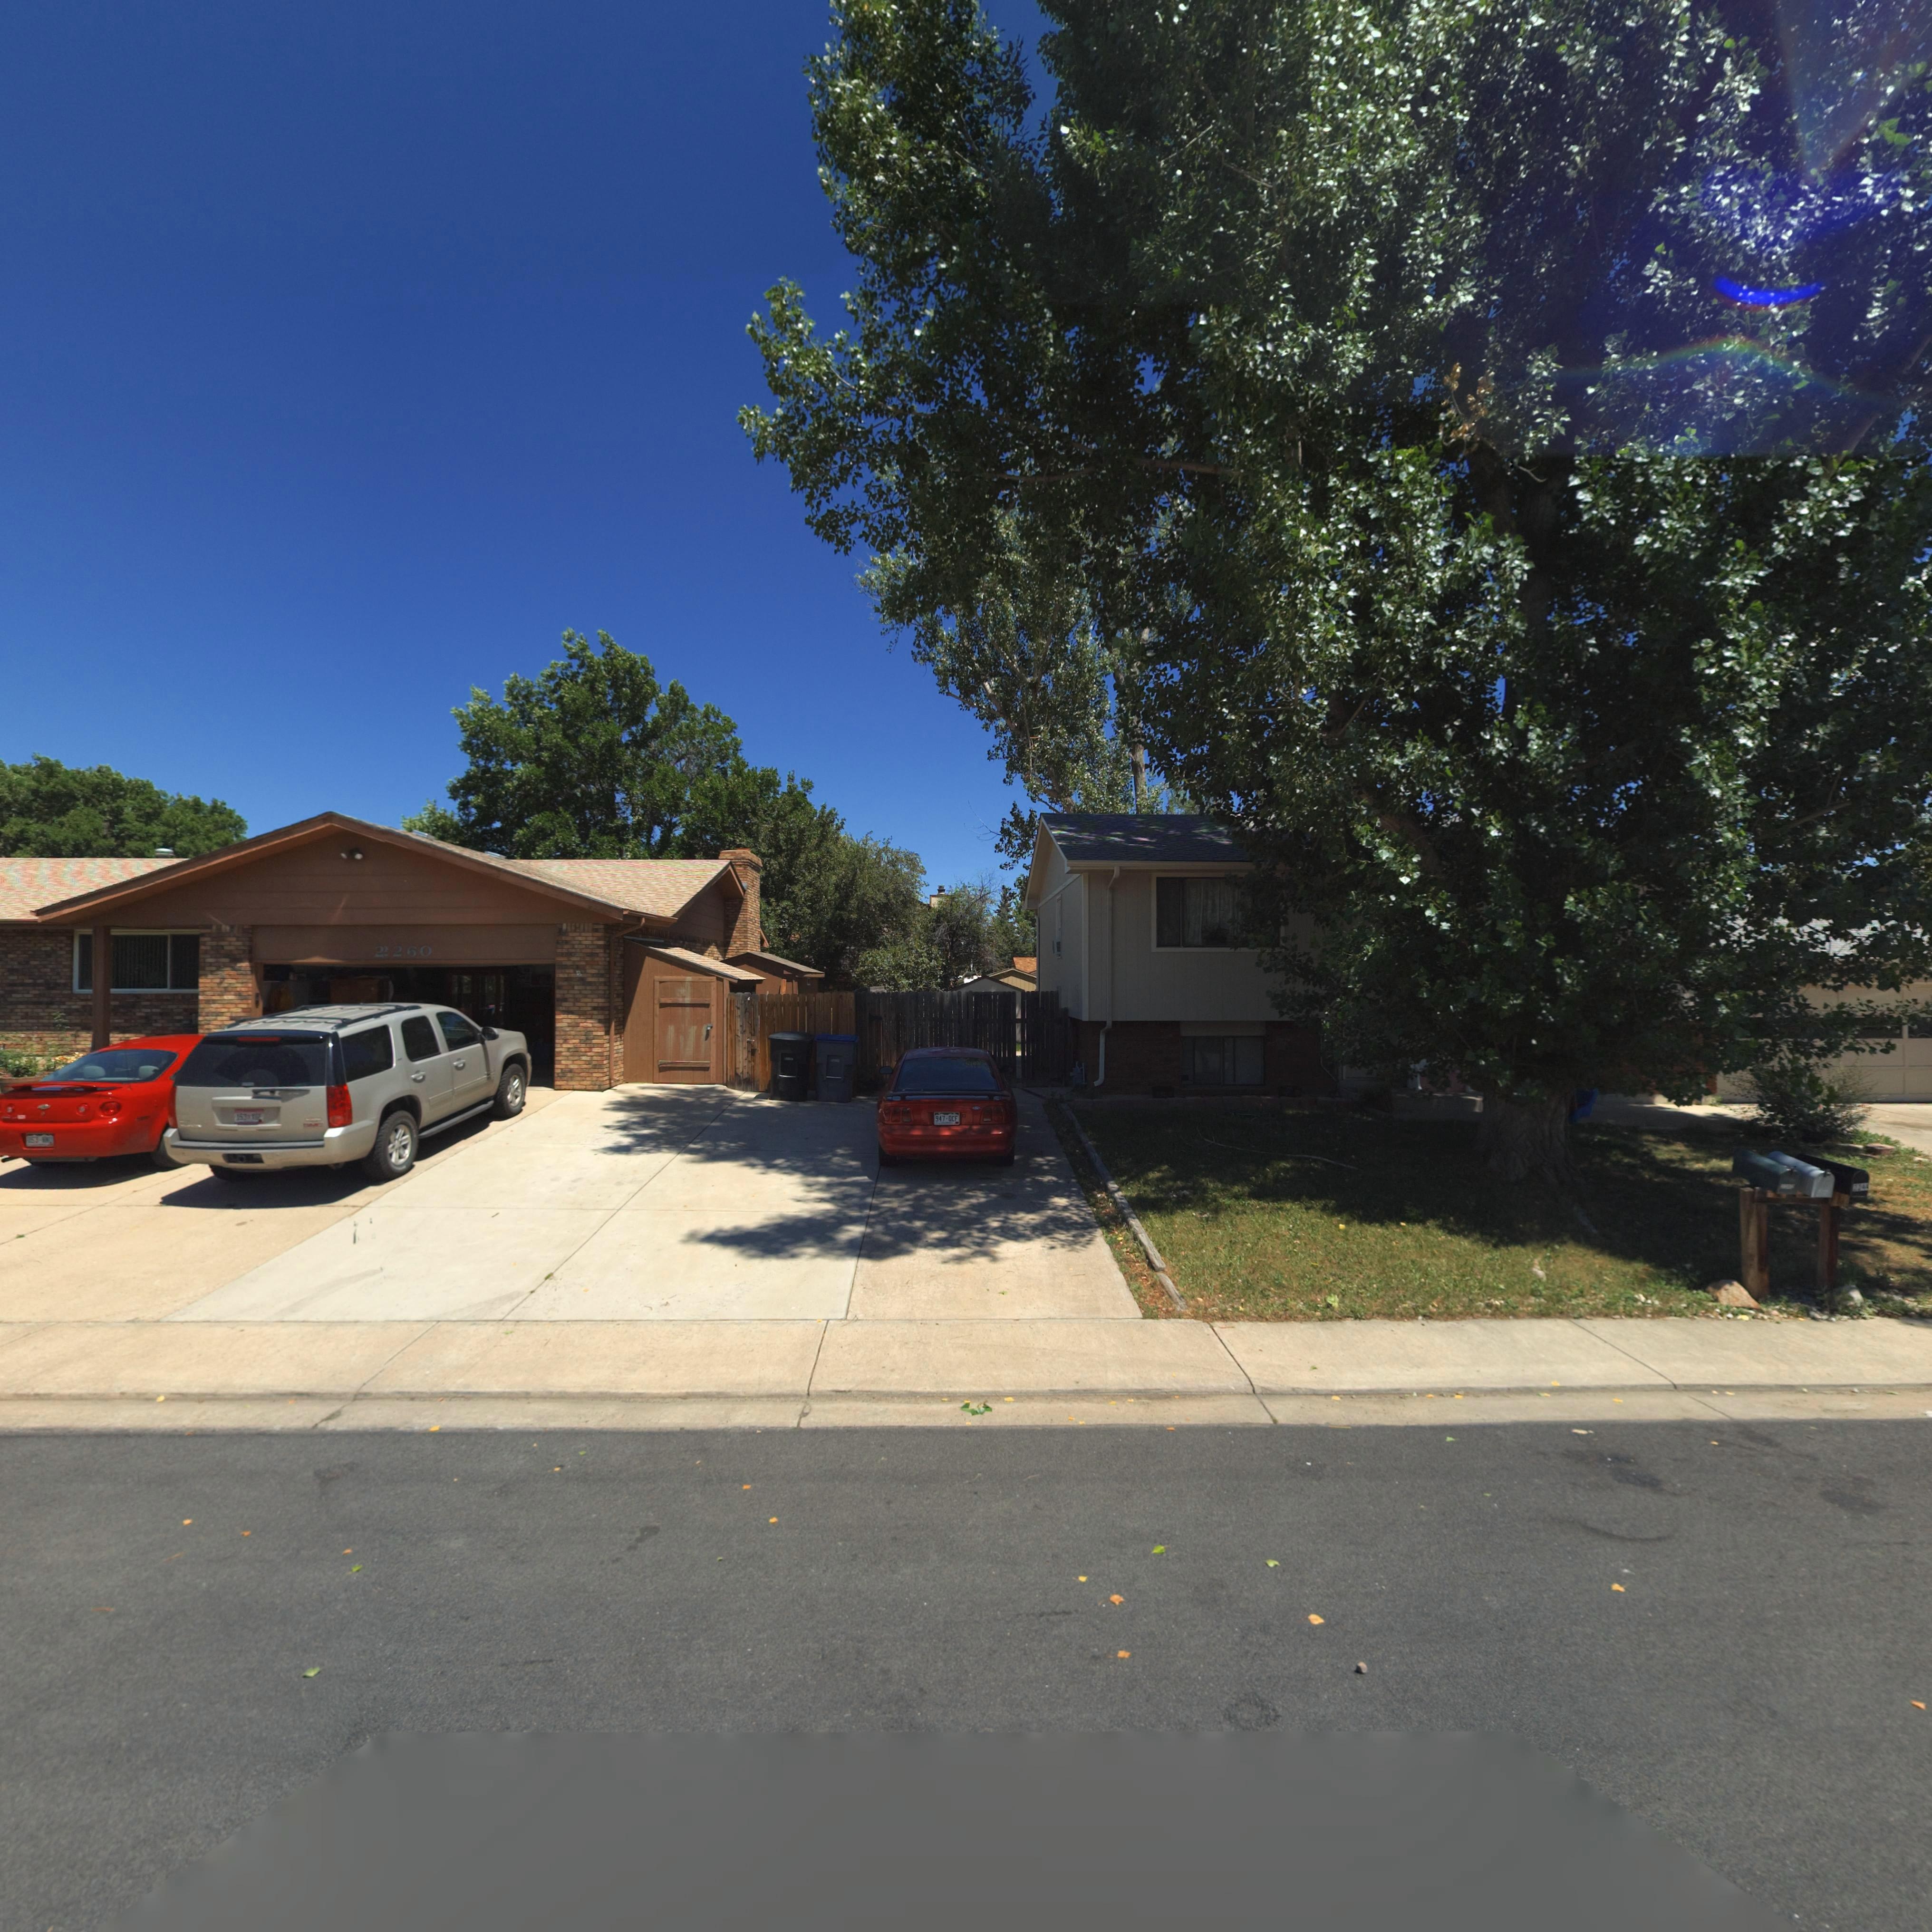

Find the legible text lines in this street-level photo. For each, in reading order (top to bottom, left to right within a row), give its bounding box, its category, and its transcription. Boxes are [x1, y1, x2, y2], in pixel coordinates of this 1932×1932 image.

[374, 945, 432, 957] StreetNumber: *260
[1853, 1183, 1868, 1191] StreetNumber: 2**4